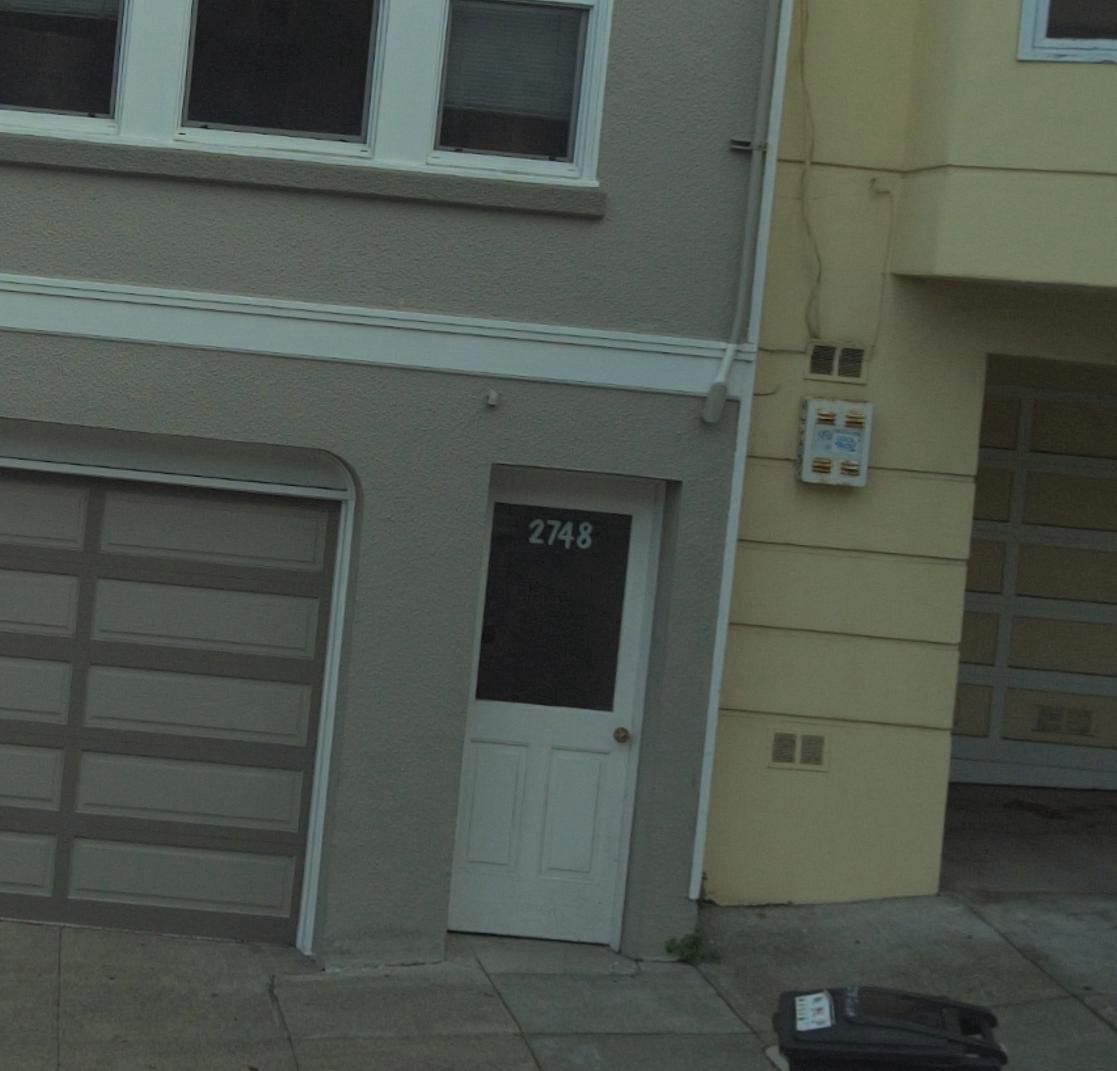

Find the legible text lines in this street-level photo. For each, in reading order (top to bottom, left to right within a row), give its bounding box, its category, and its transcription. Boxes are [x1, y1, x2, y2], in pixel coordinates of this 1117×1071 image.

[525, 516, 597, 552] StreetNumber: 2748